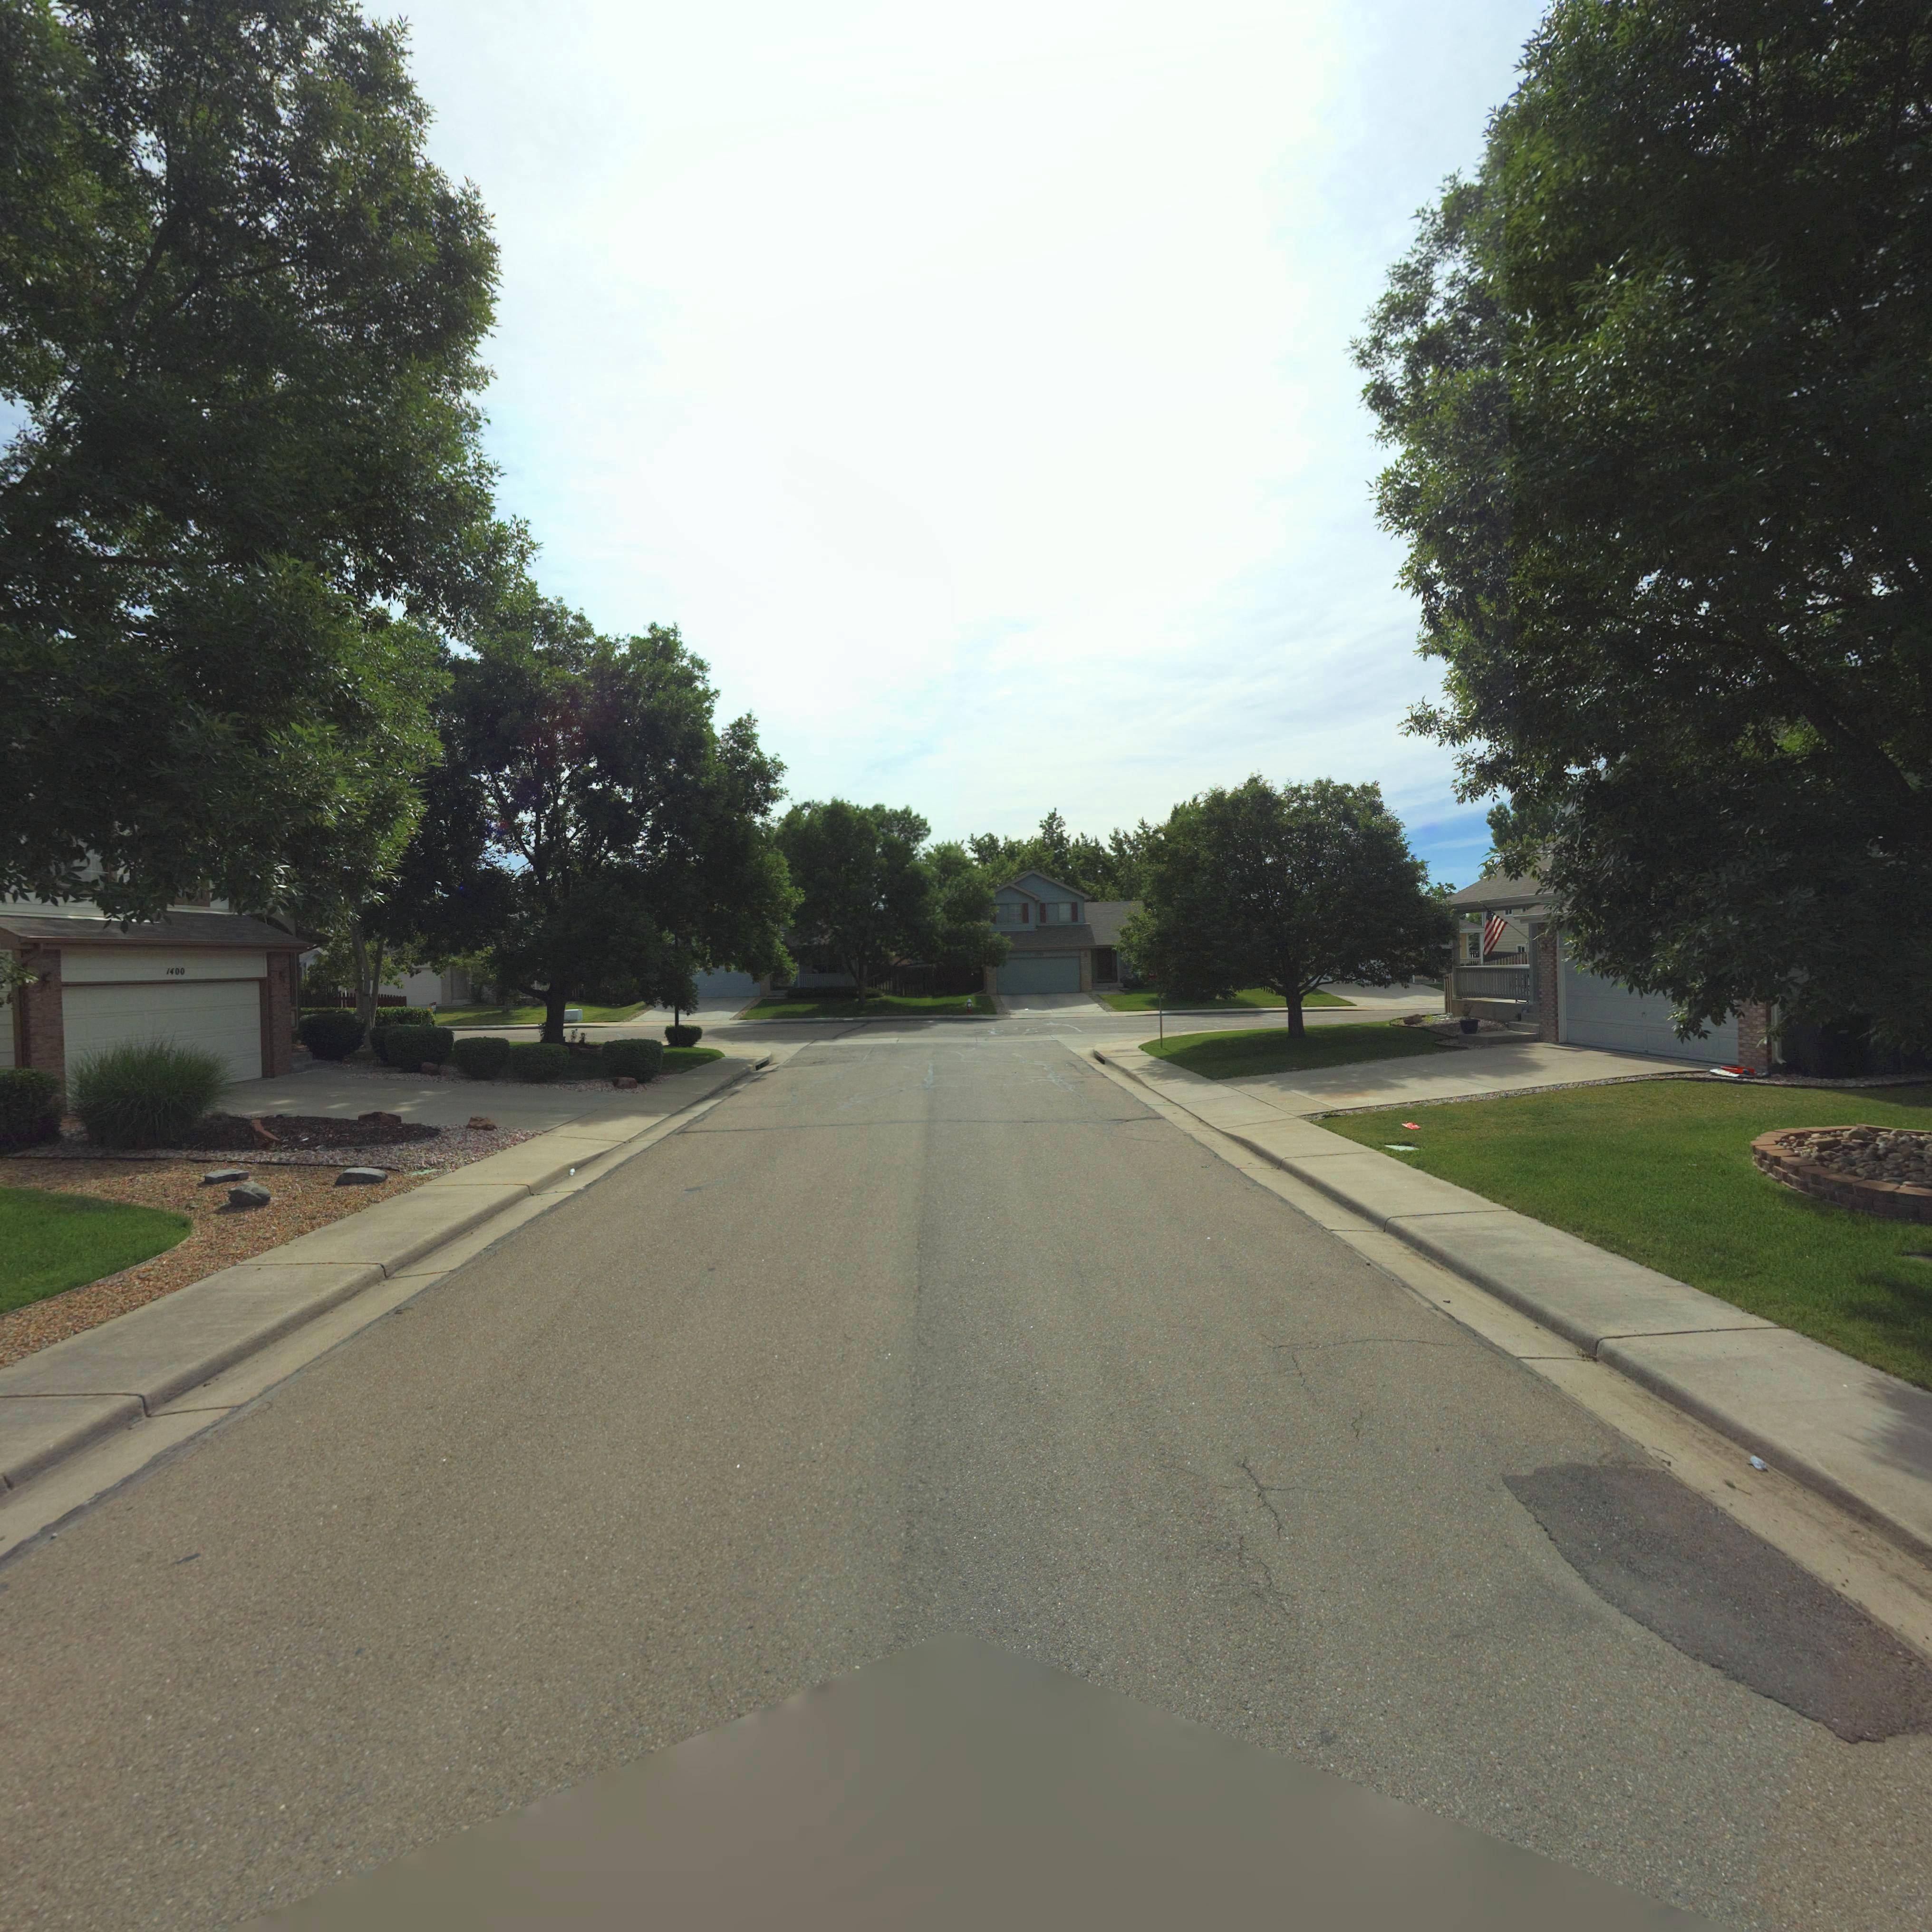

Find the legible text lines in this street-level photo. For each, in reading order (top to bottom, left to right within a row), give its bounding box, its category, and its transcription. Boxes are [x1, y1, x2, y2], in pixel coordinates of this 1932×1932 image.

[1034, 951, 1044, 956] StreetNumber: 17**
[165, 967, 185, 976] StreetNumber: 1400